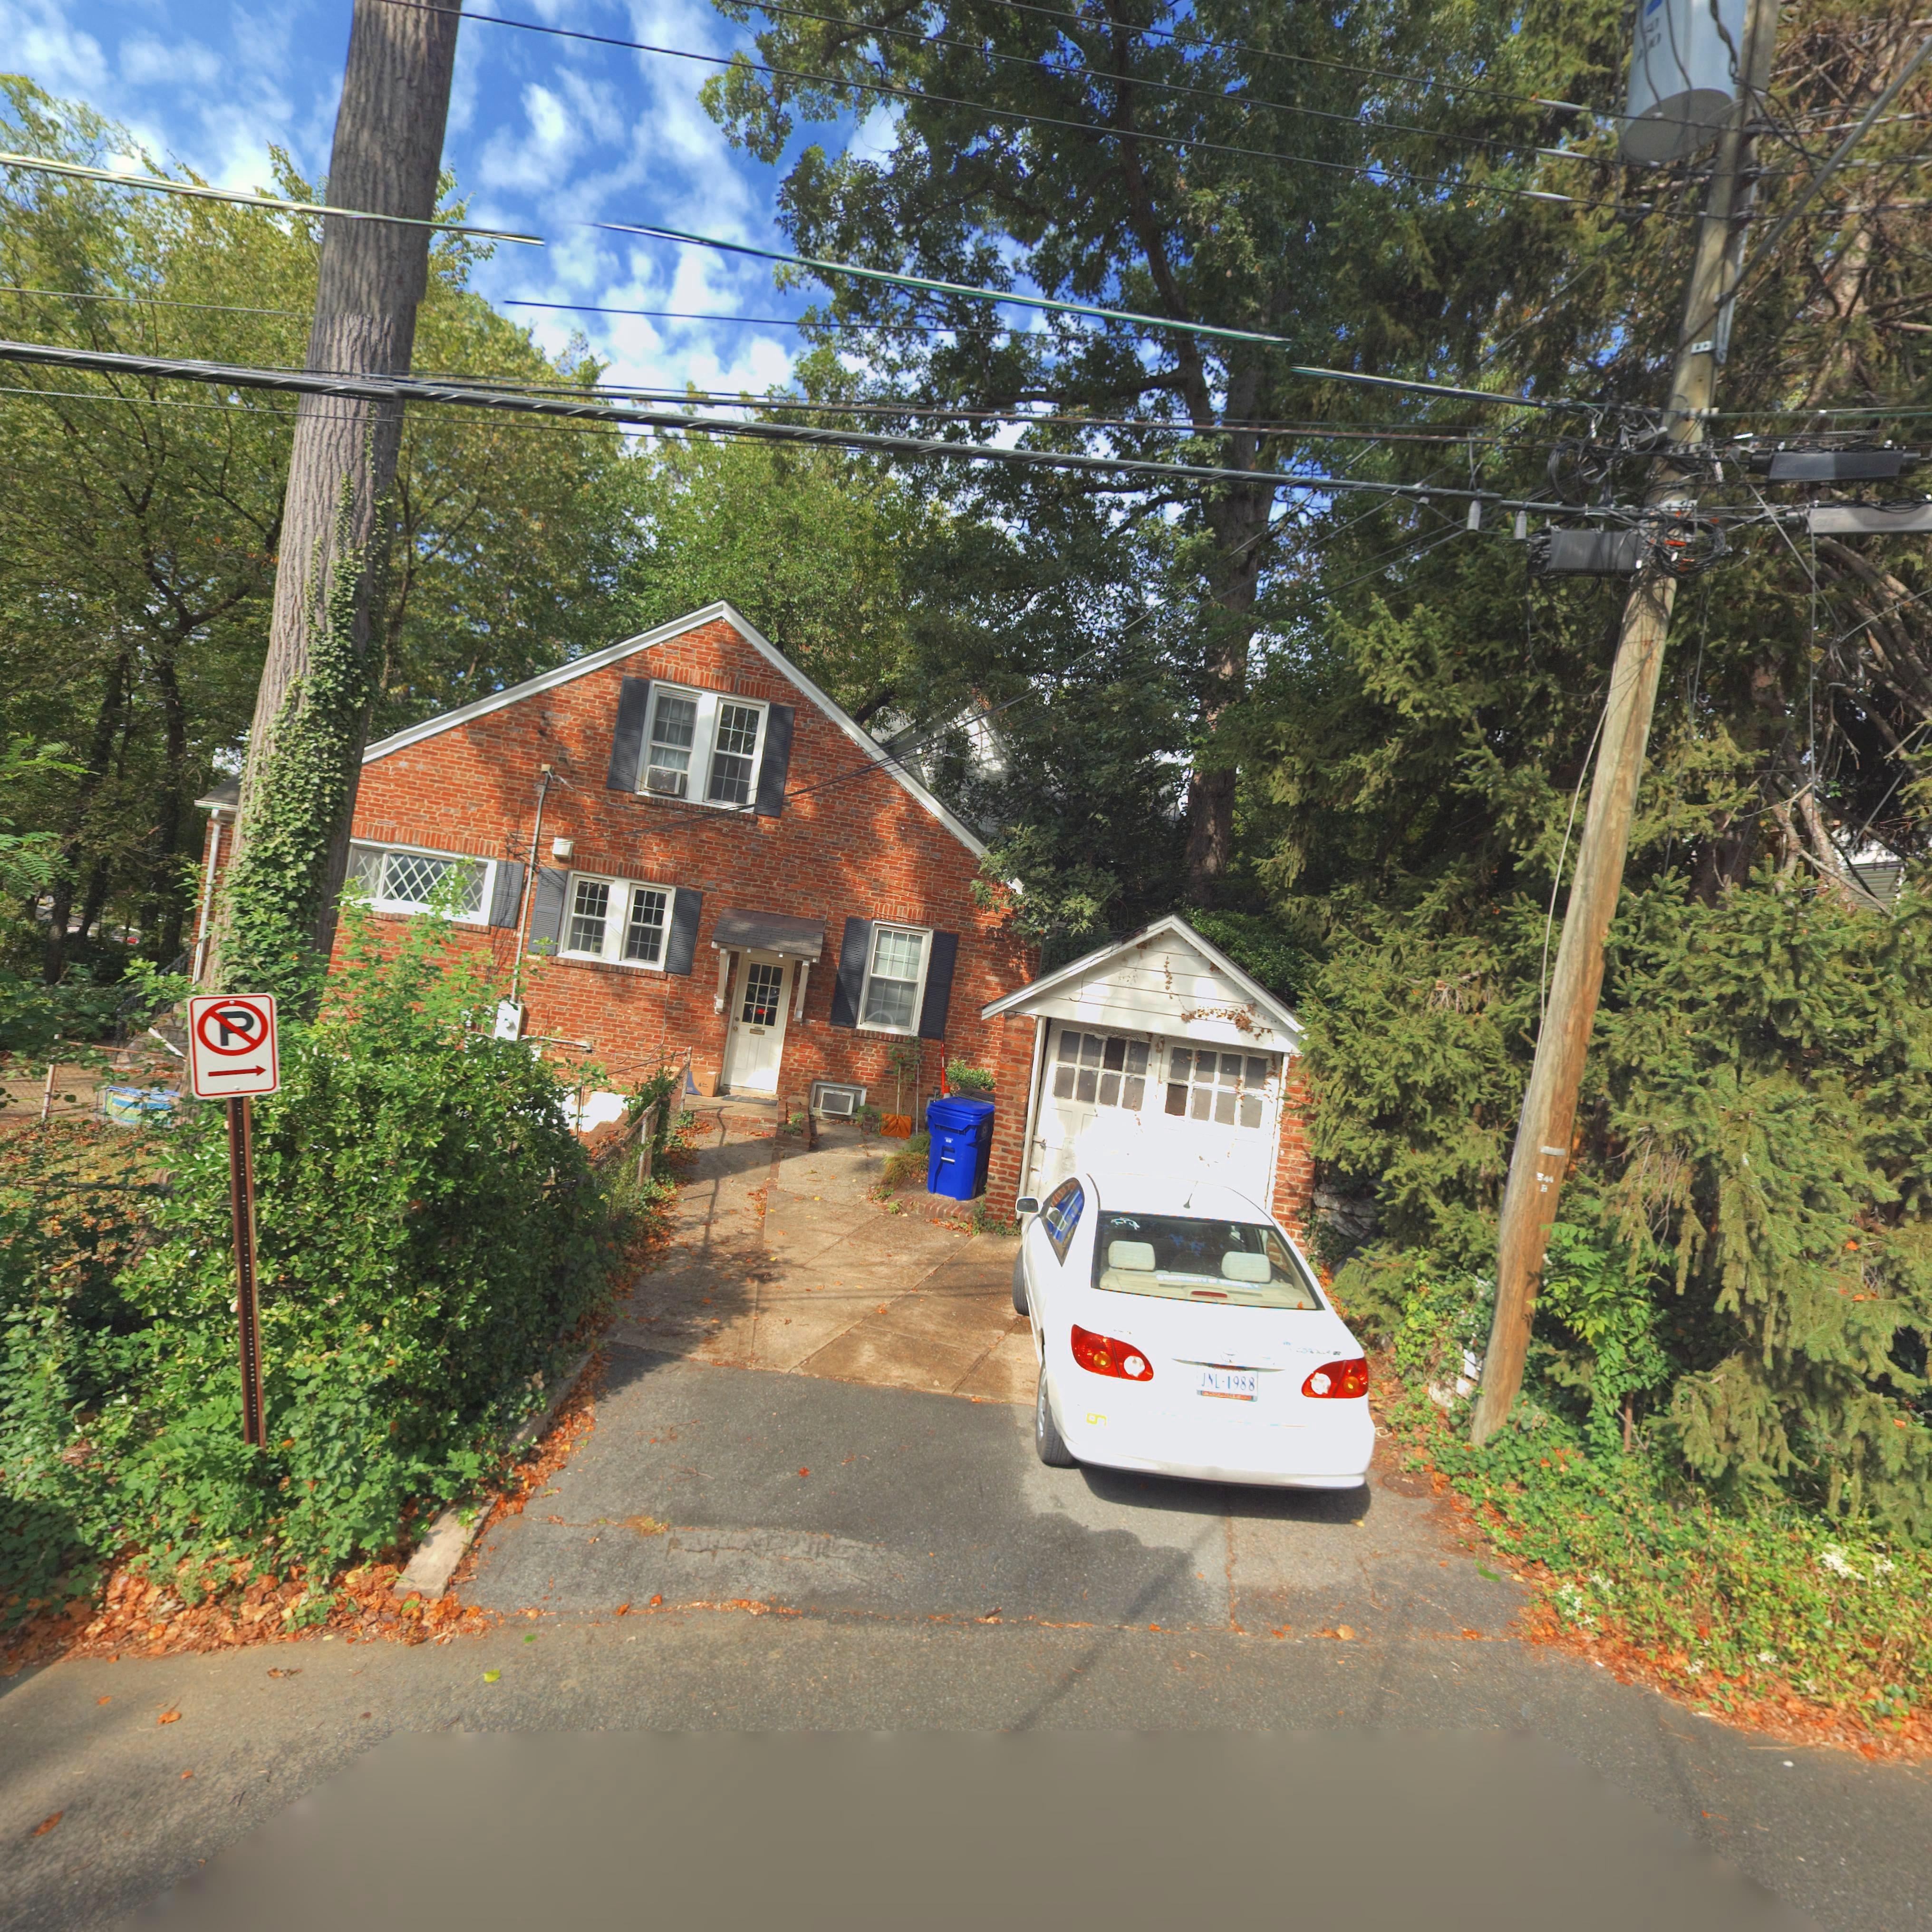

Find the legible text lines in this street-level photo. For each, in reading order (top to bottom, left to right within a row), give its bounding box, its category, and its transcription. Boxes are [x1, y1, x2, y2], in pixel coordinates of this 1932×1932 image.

[1226, 1373, 1257, 1395] None: 1988